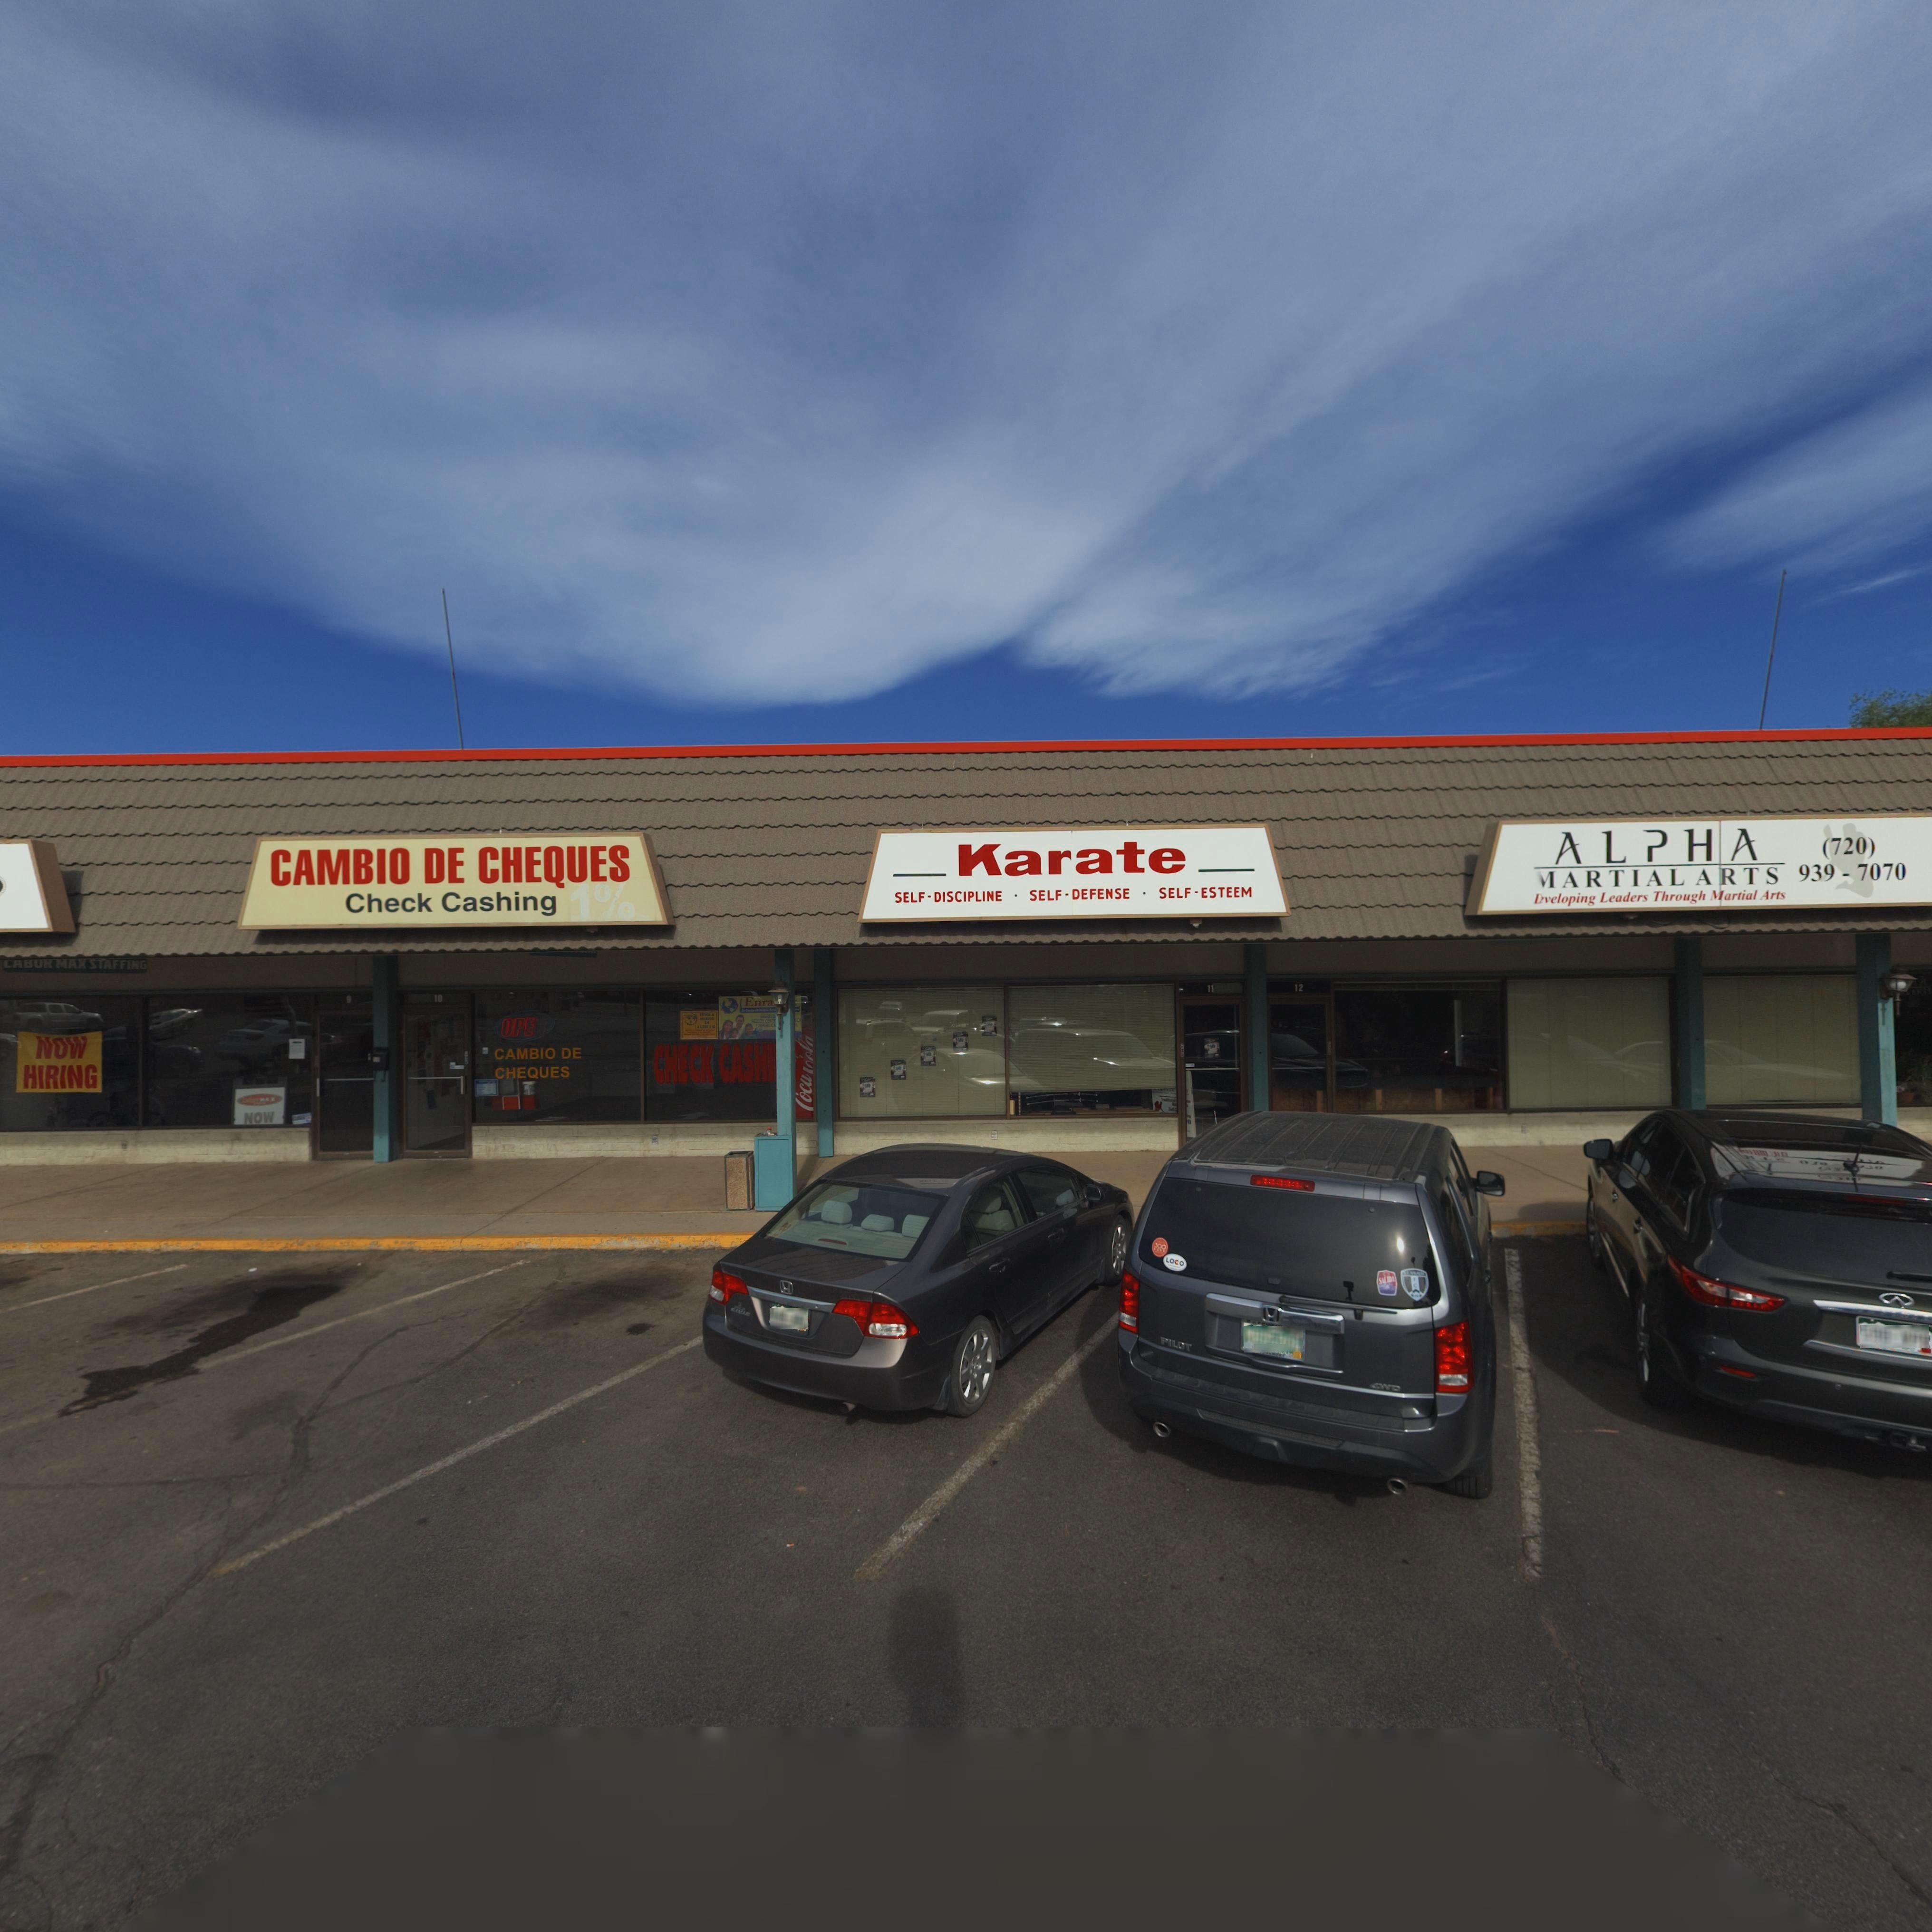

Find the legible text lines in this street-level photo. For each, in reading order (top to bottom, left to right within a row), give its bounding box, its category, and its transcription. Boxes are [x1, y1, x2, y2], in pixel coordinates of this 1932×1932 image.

[1553, 826, 1759, 864] BusinessName: ALPHA
[269, 842, 633, 889] BusinessName: CAMBIO DE CHEQUES
[1534, 866, 1781, 889] BusinessName: *ARTIAL ARTS
[4, 956, 147, 971] BusinessName: LA**R MAX STAFFING
[1207, 983, 1214, 994] StreetNumber: 11
[1294, 983, 1304, 992] StreetNumber: 12
[346, 995, 352, 1004] StreetNumber: 9
[433, 994, 443, 1003] StreetNumber: 10
[493, 1047, 582, 1060] BusinessName: CAMBIO DE
[495, 1066, 569, 1079] BusinessName: CHEQUES